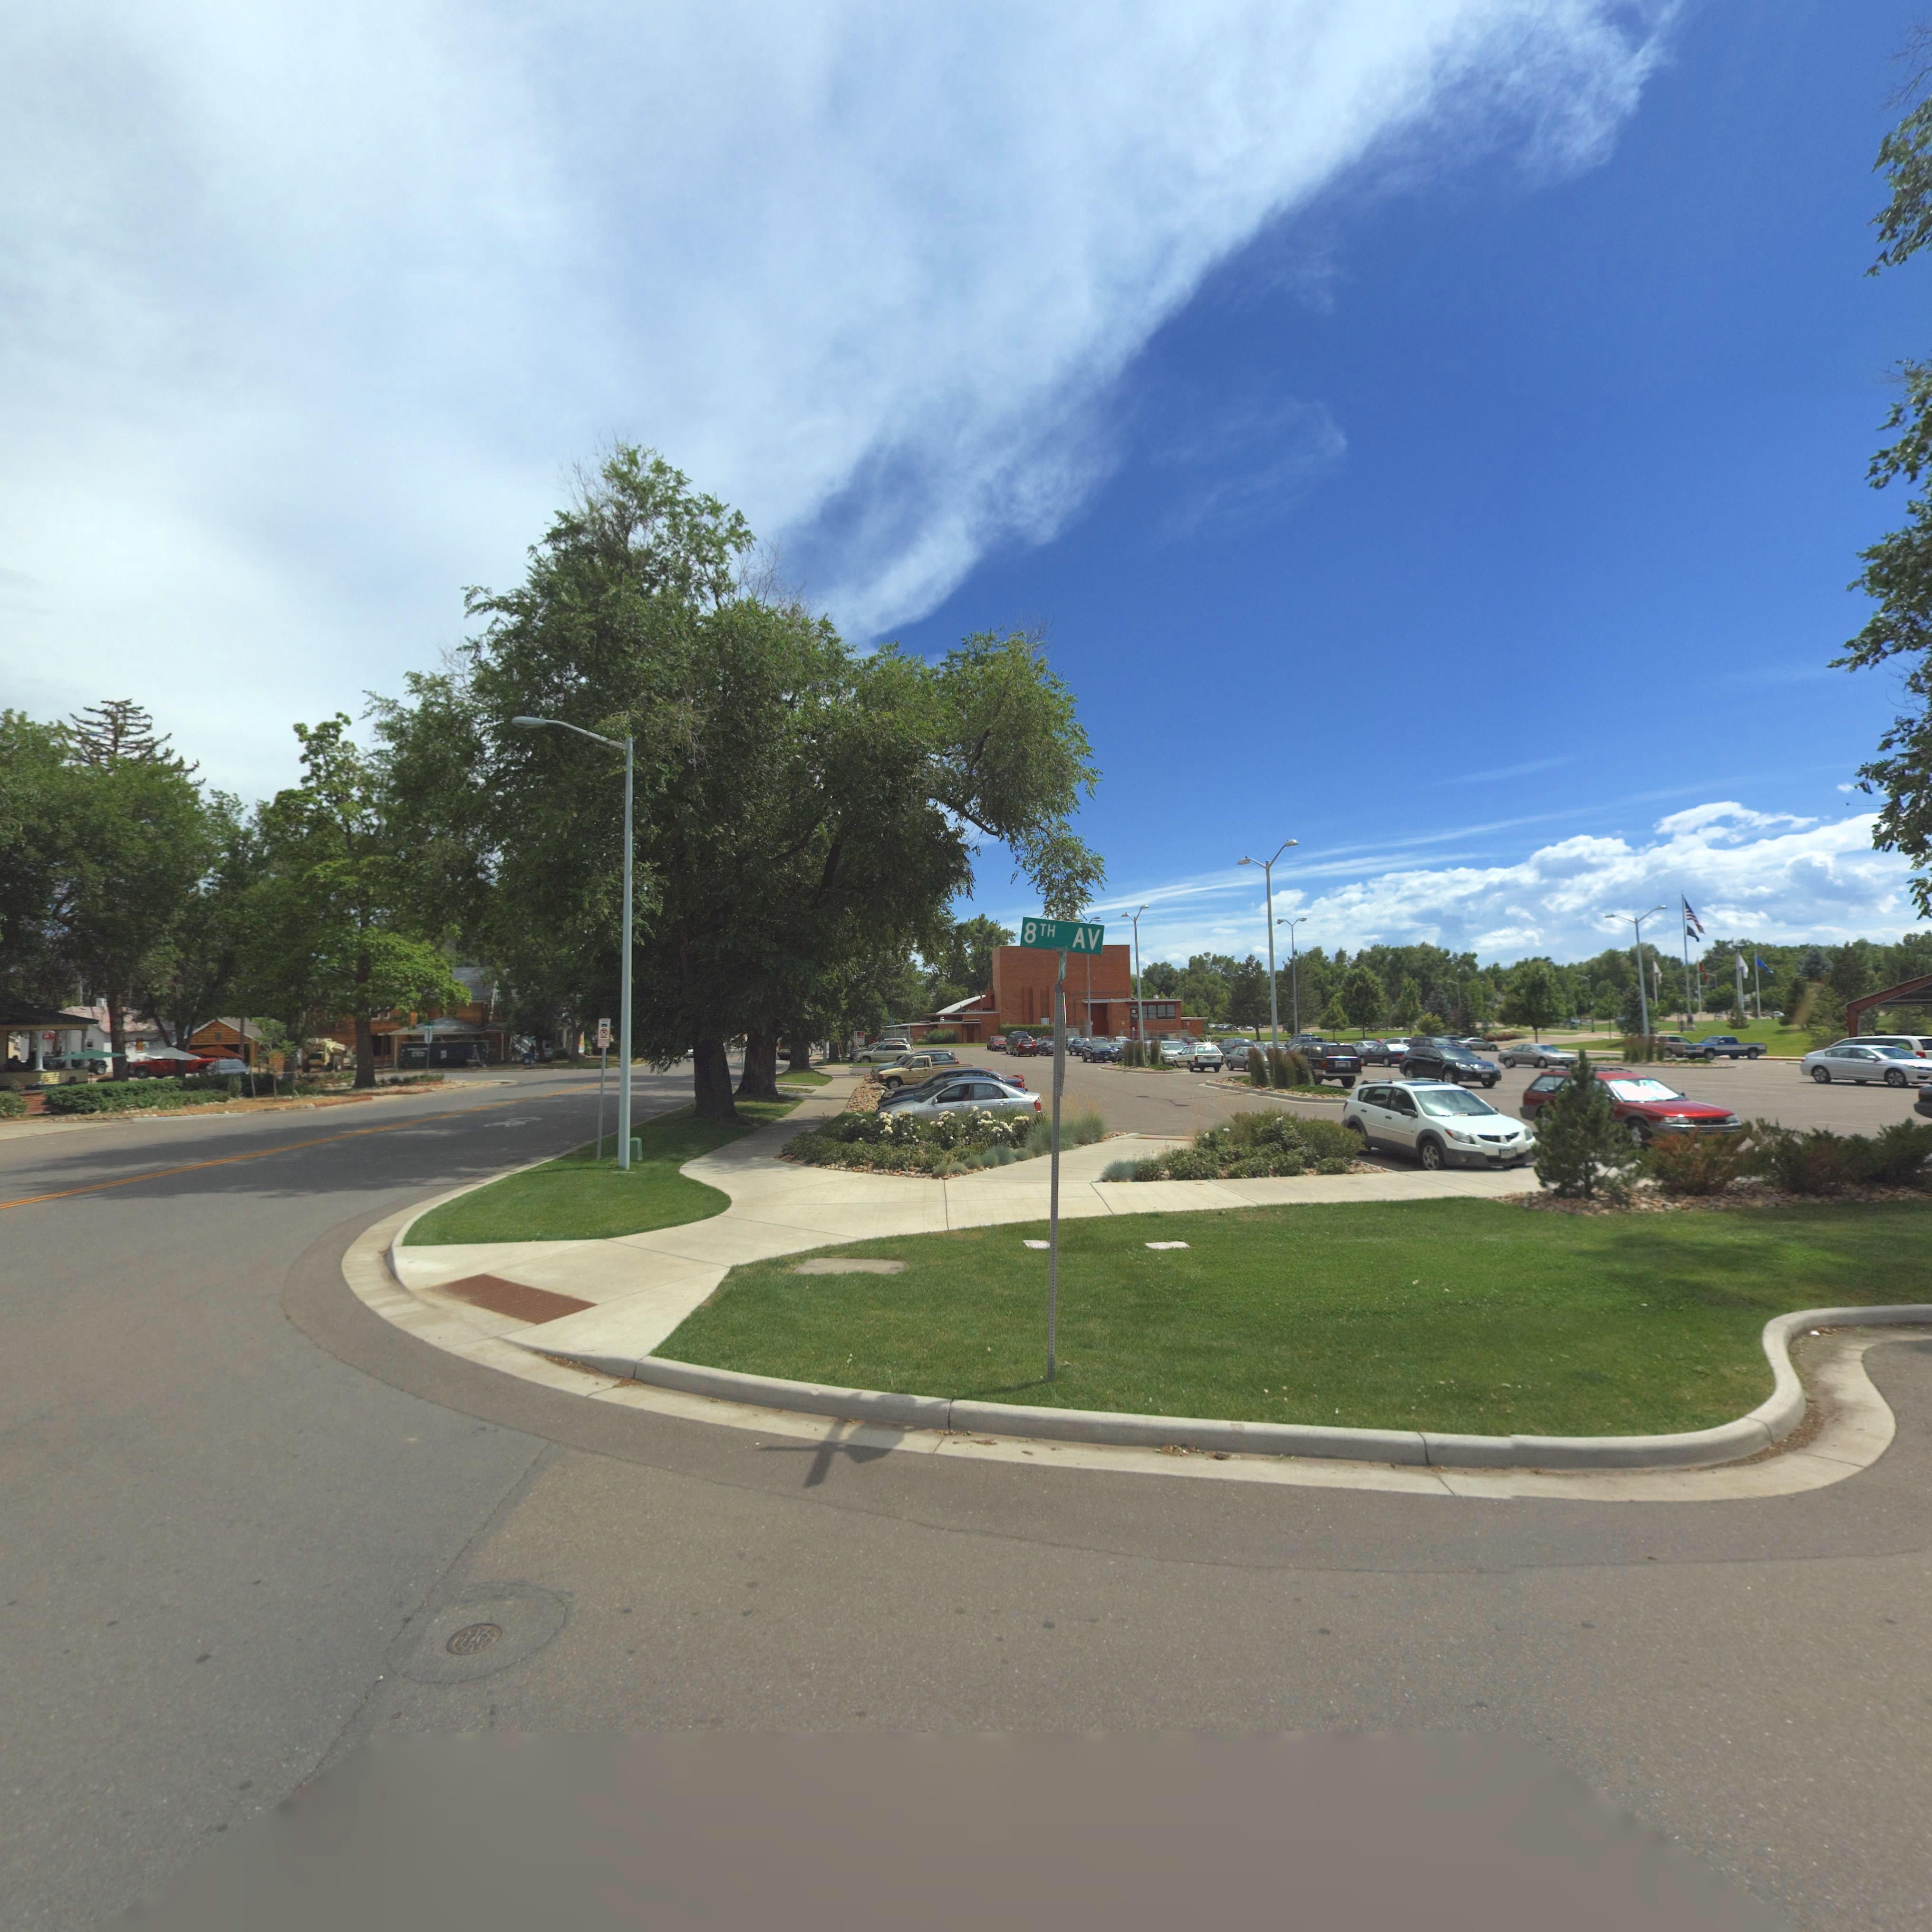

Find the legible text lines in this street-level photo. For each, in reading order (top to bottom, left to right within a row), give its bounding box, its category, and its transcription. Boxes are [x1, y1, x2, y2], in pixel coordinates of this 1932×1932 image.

[1023, 921, 1102, 951] StreetName: 8TH AV